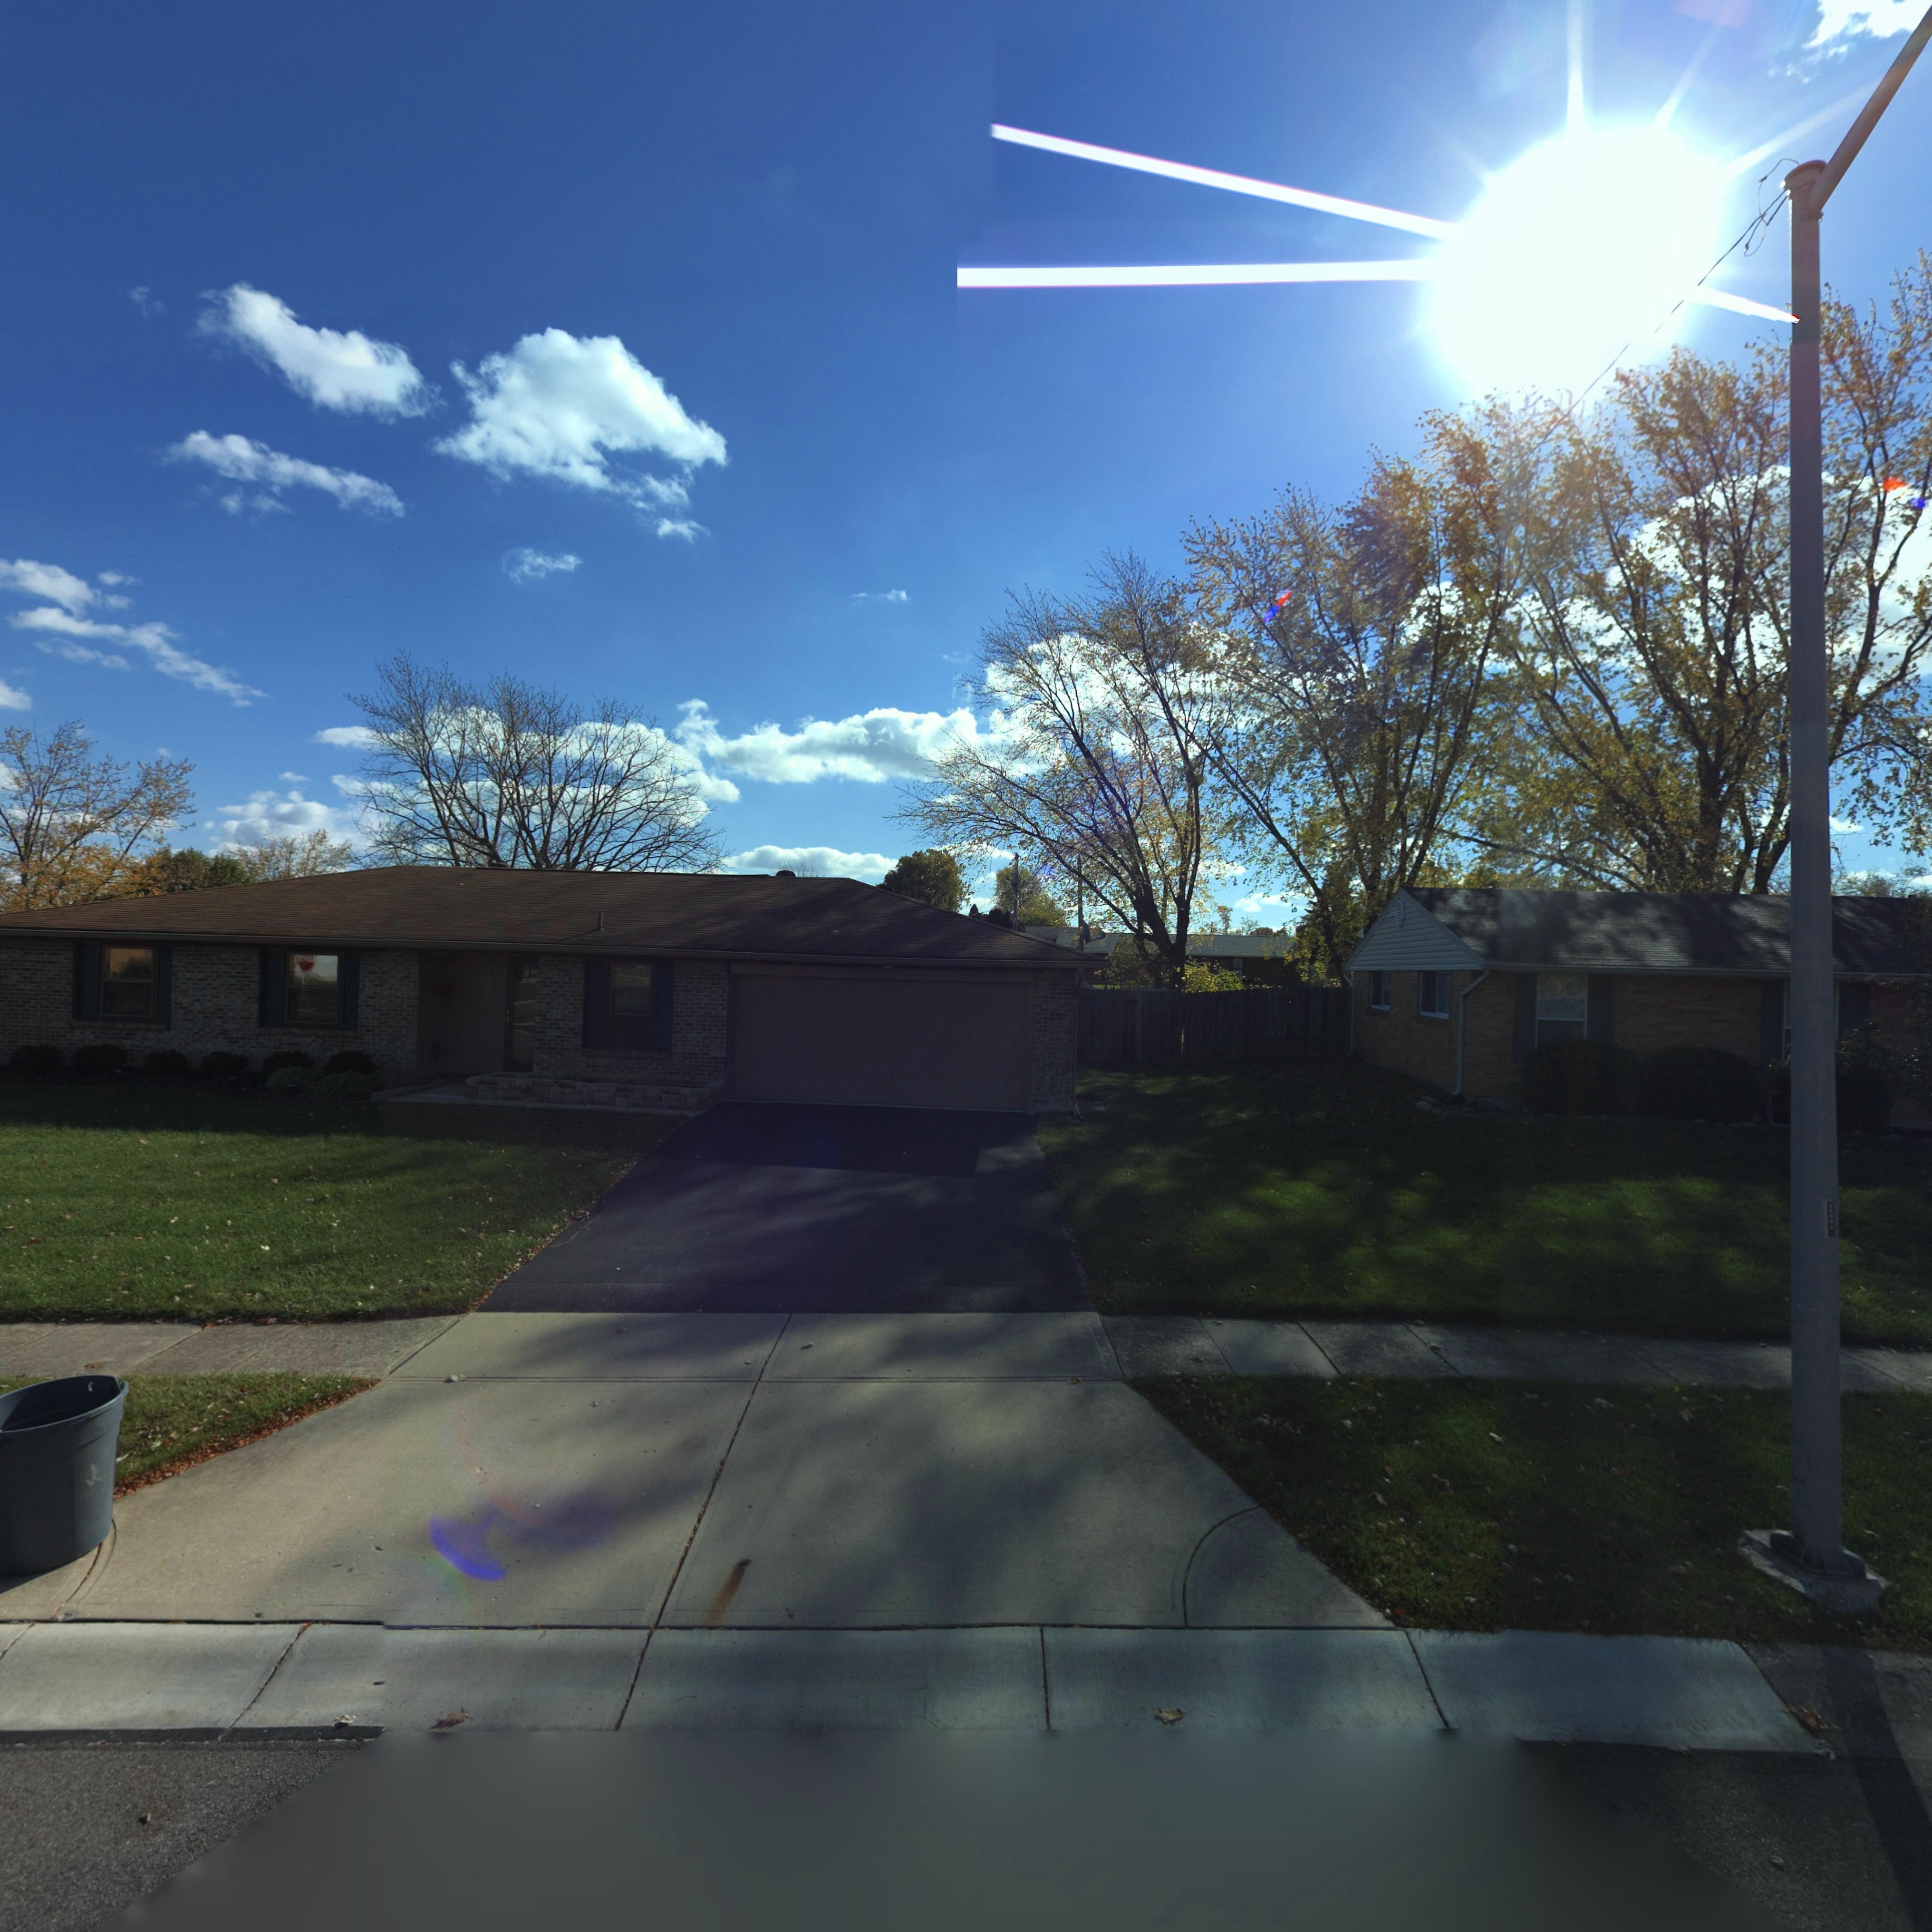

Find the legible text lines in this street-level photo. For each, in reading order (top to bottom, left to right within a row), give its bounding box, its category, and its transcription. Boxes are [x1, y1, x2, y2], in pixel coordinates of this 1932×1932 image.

[483, 964, 493, 1002] StreetNumber: 72**